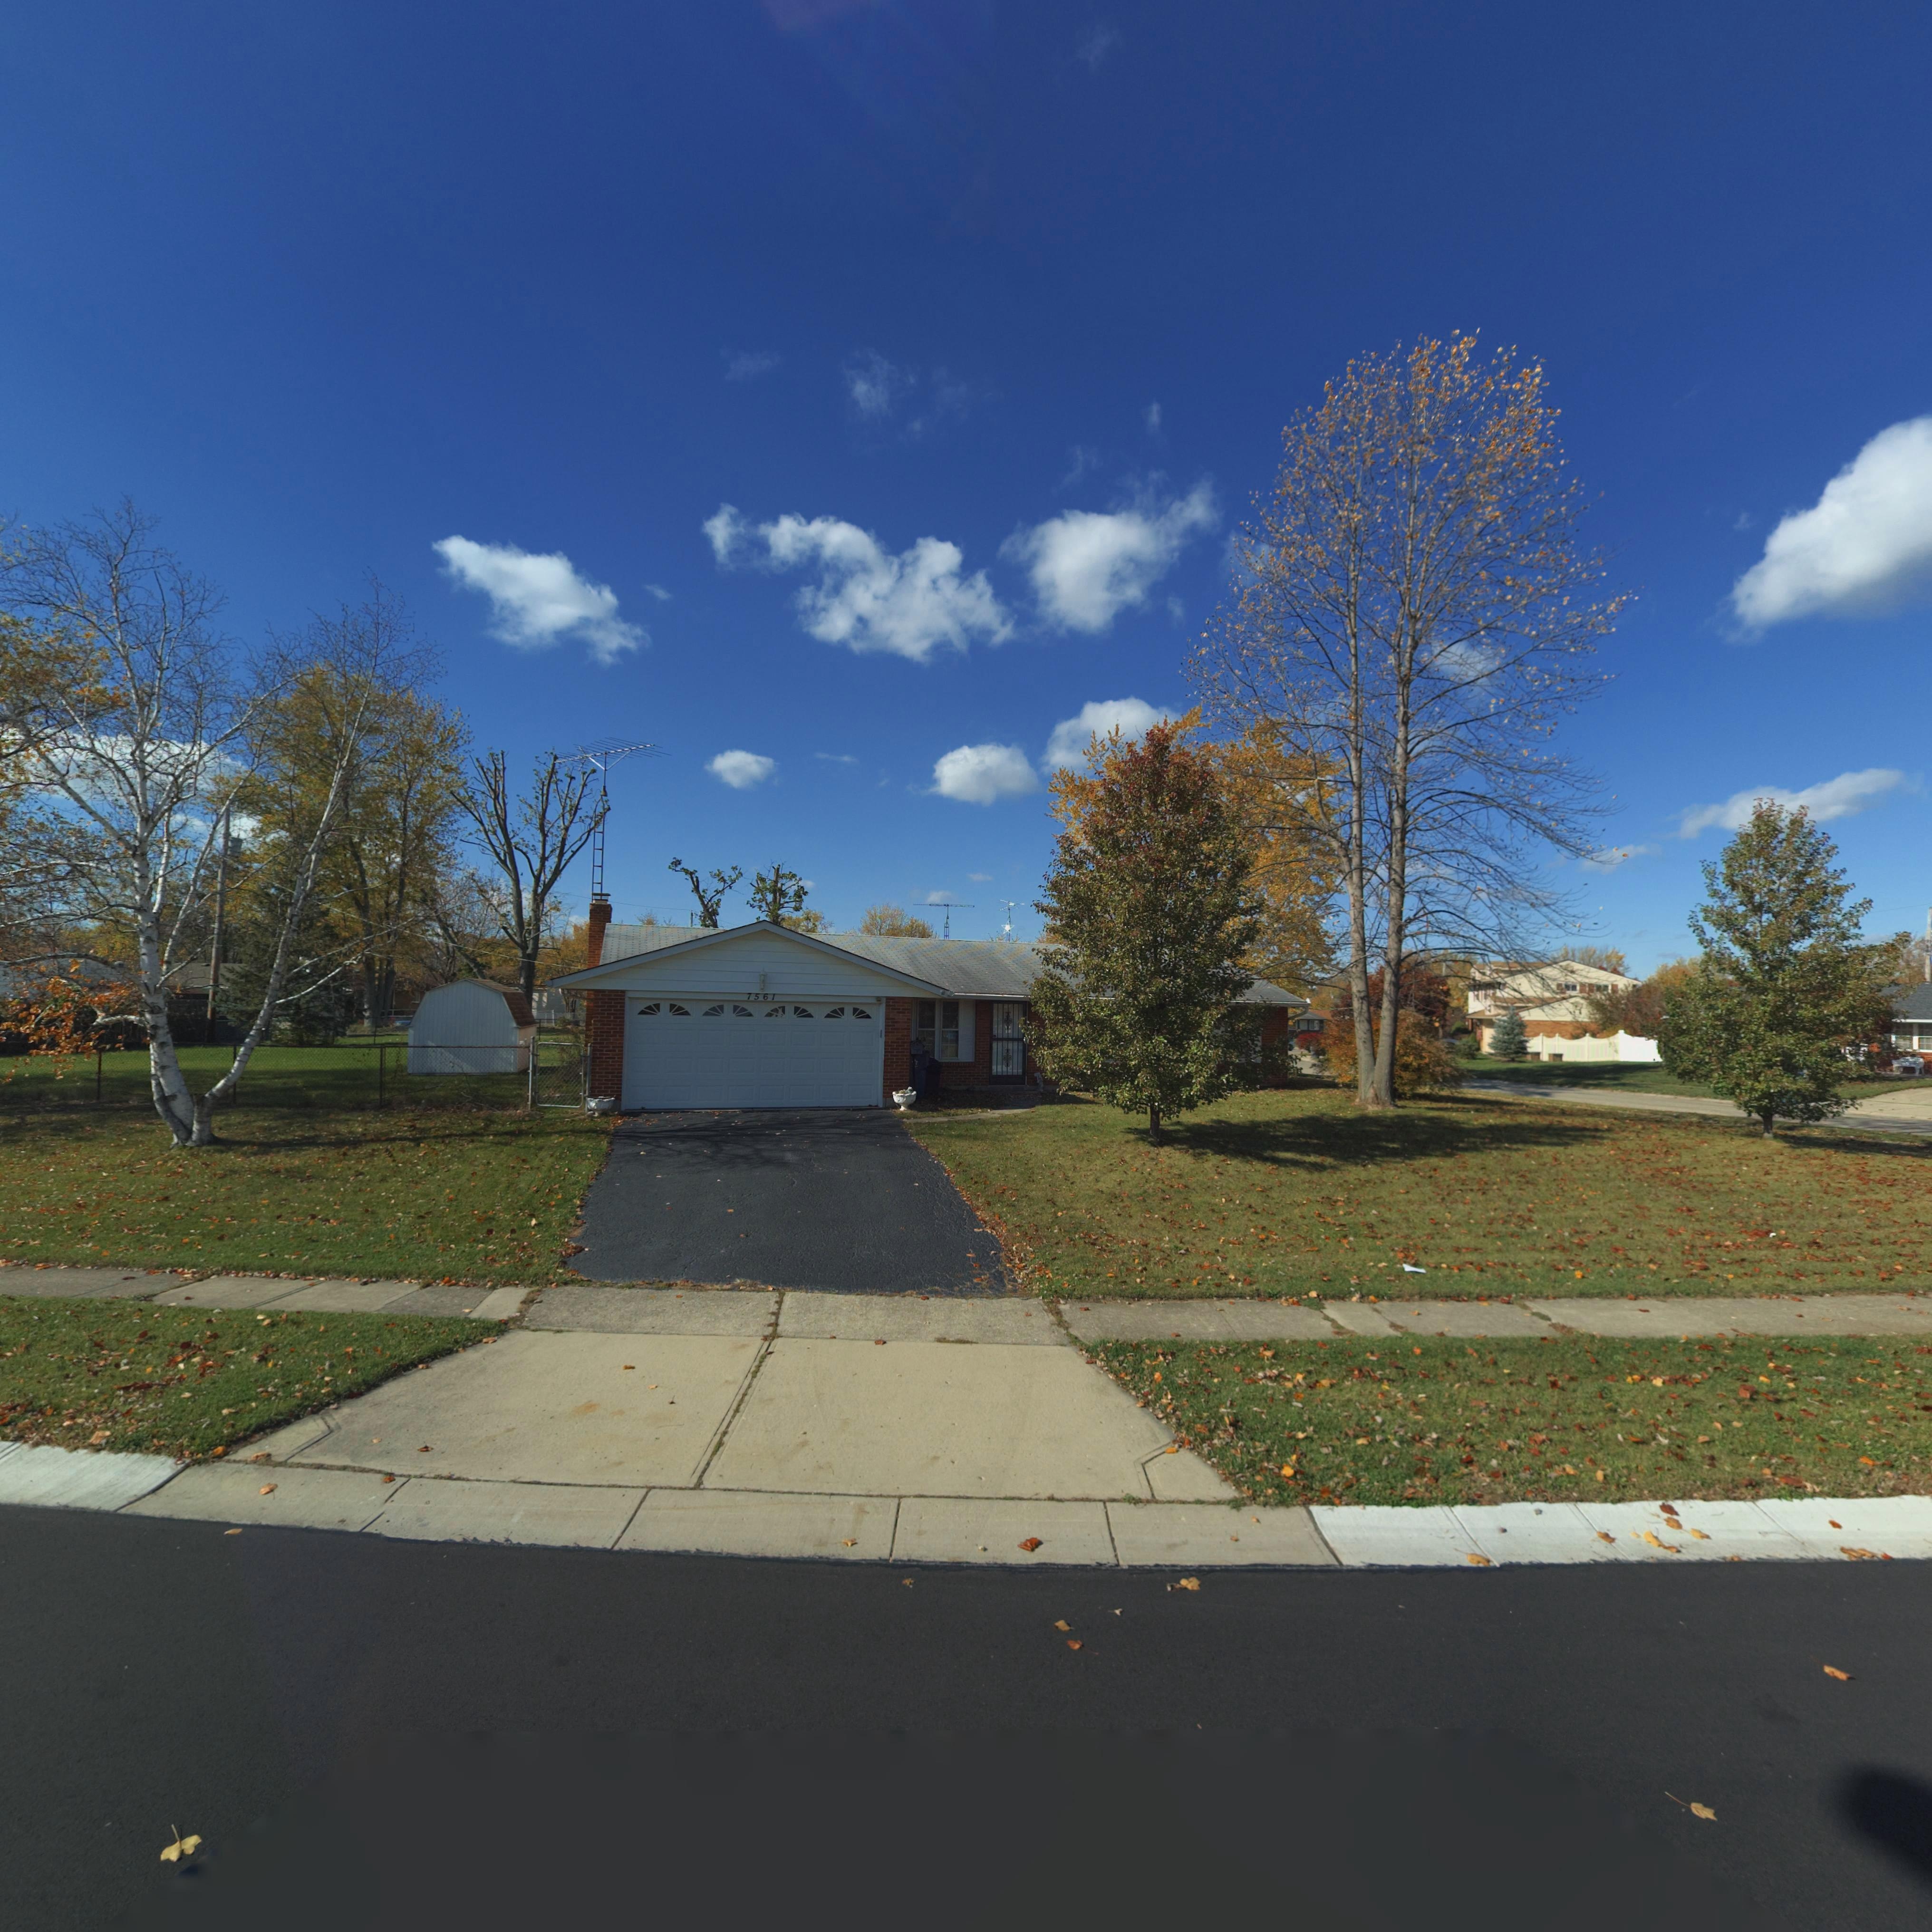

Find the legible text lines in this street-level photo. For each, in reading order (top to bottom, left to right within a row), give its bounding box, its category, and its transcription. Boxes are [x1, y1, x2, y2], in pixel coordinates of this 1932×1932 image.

[746, 992, 777, 1002] StreetNumber: 7561